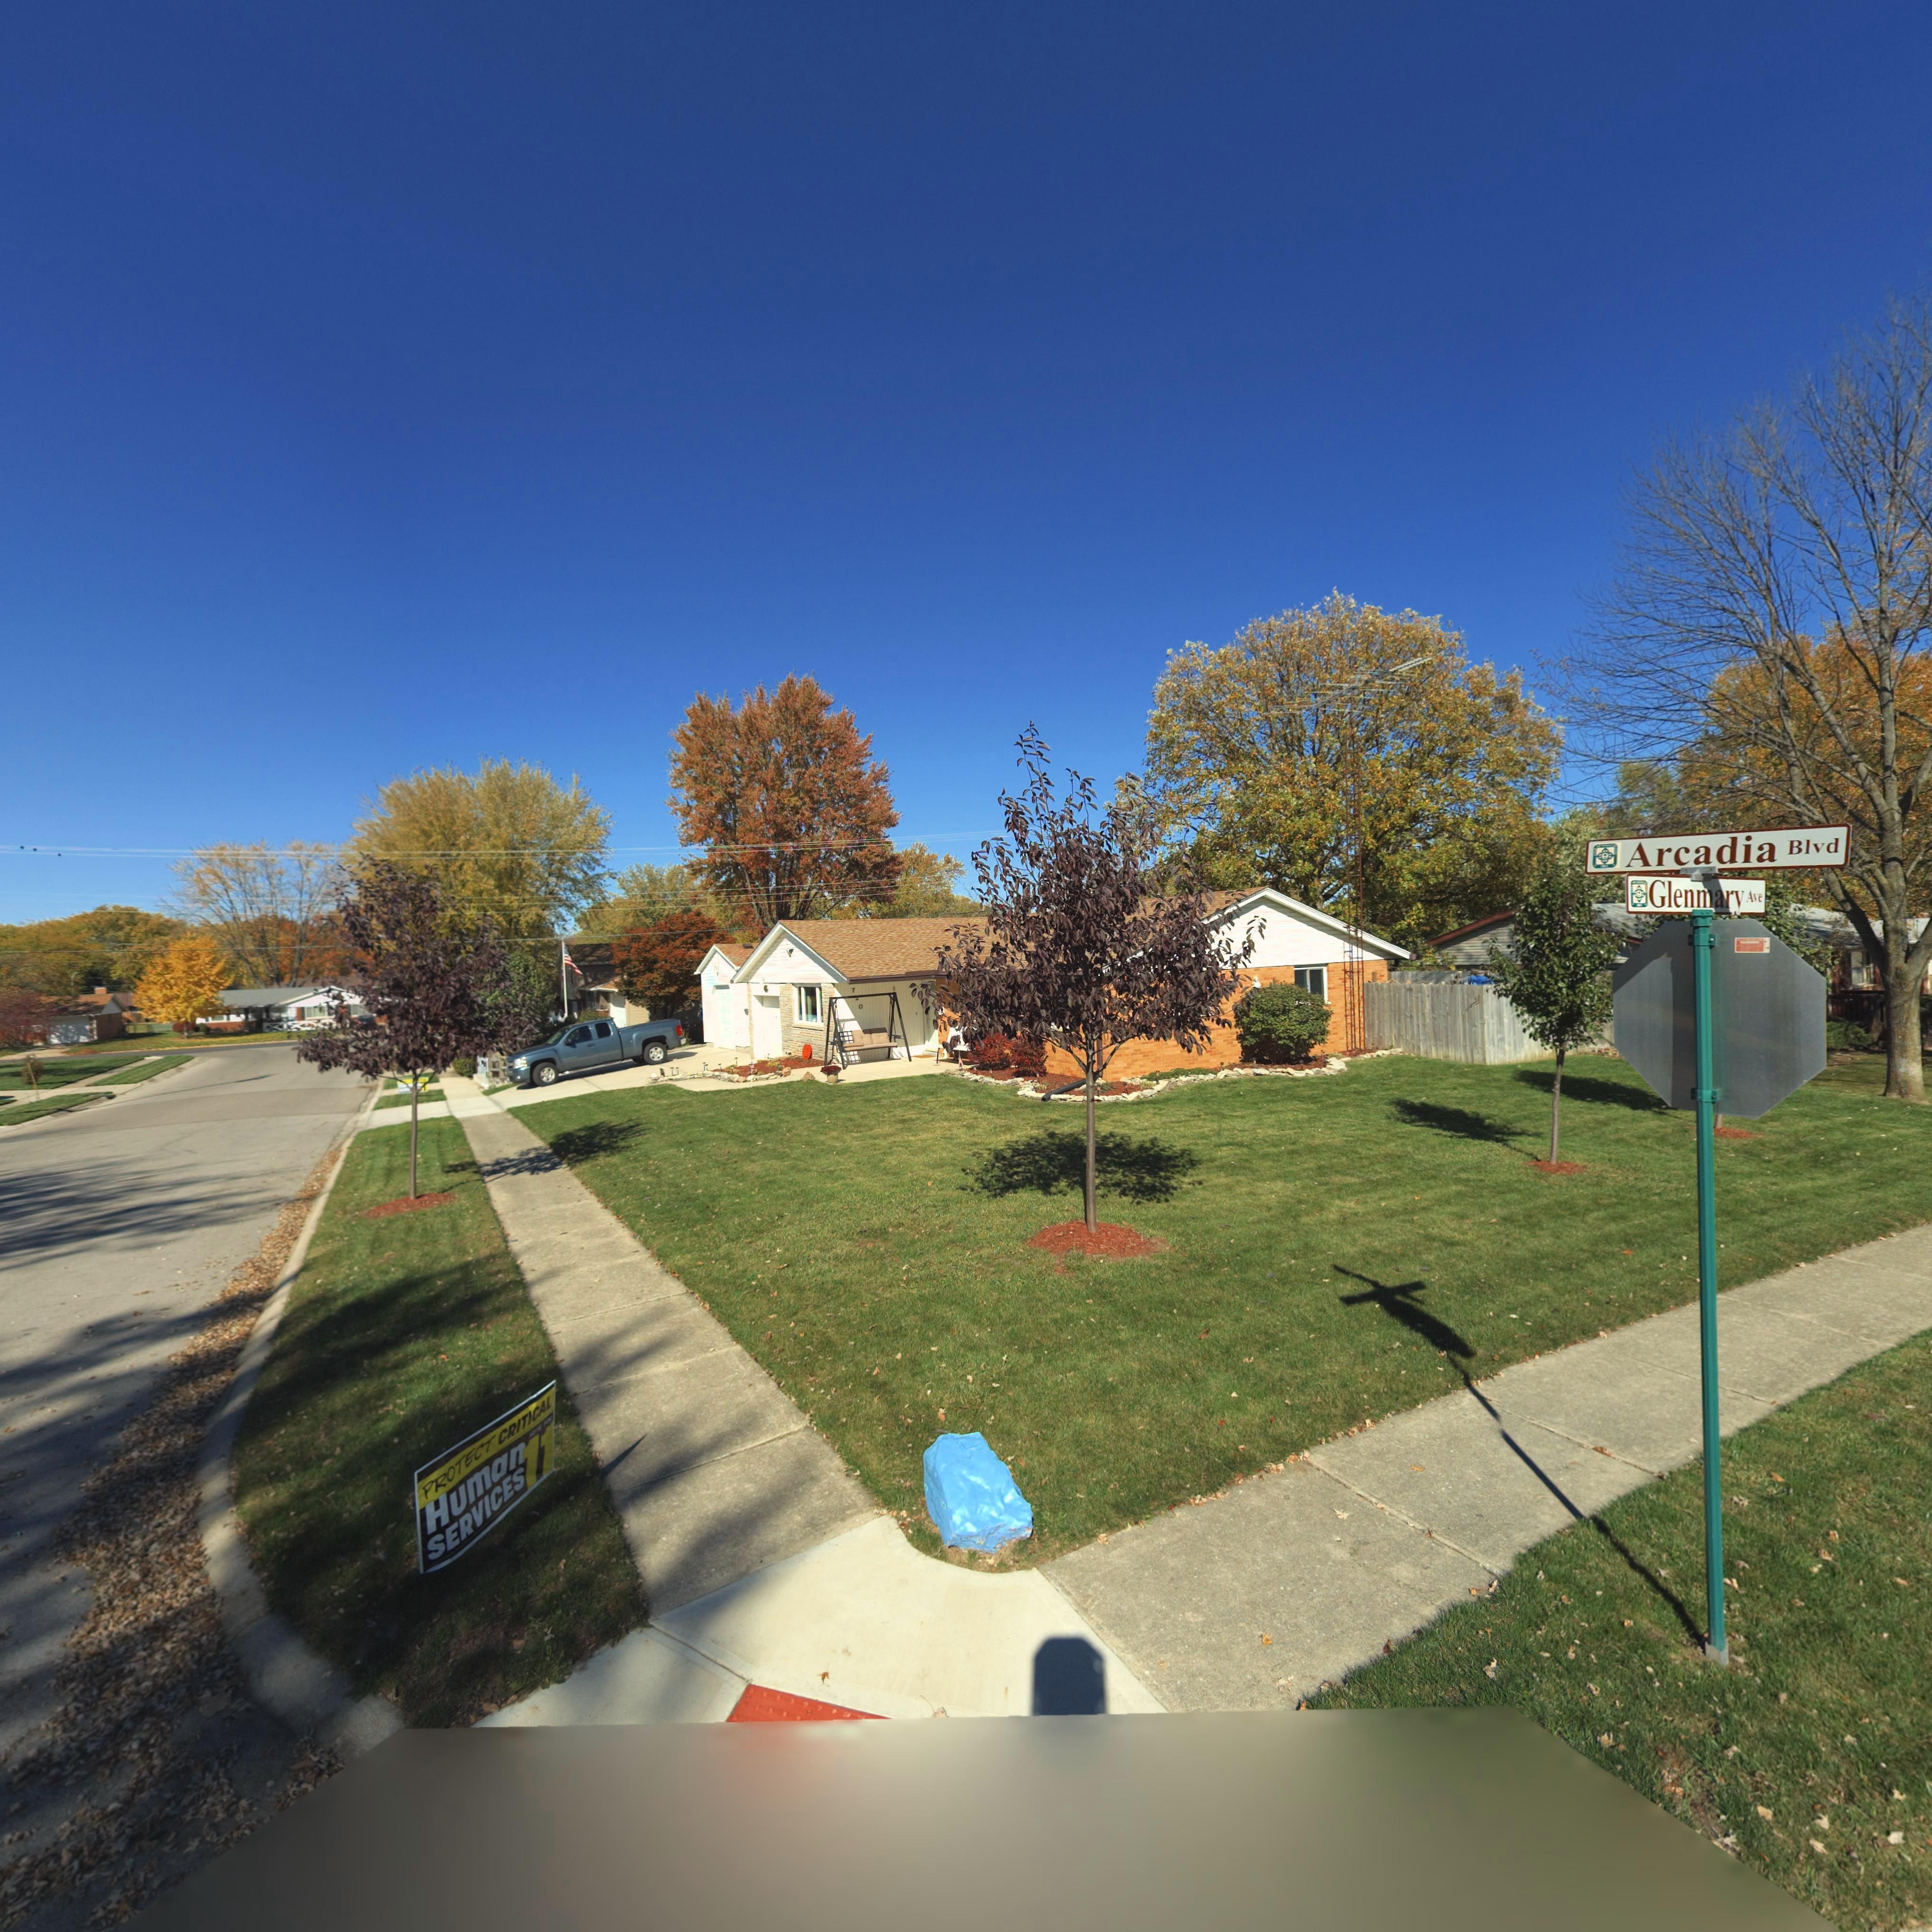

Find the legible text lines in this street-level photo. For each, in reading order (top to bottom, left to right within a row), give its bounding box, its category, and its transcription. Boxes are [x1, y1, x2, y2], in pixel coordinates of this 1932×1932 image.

[1622, 834, 1841, 869] StreetName: Arcadia Blvd
[1648, 878, 1764, 917] StreetName: Glenmary Ave
[850, 986, 864, 1011] StreetNumber: 7*0
[423, 1438, 527, 1537] None: Human
[425, 1463, 526, 1562] None: SERVICES
[420, 1394, 552, 1502] None: PROTECT CRITICAL
[521, 1419, 555, 1493] None: 11